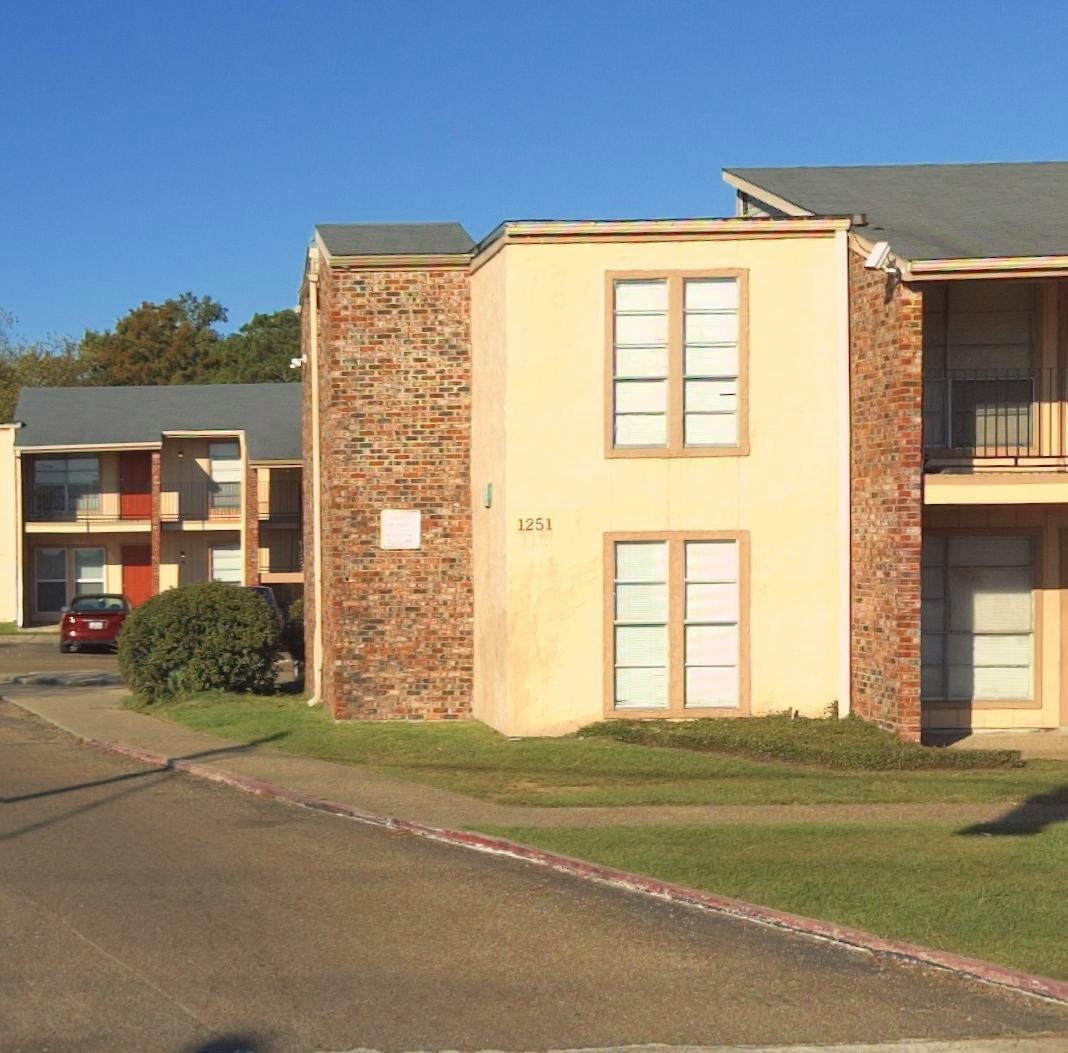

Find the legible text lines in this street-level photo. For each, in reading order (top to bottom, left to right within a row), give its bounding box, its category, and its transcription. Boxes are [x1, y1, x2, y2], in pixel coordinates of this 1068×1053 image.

[516, 515, 555, 533] StreetNumber: 1251